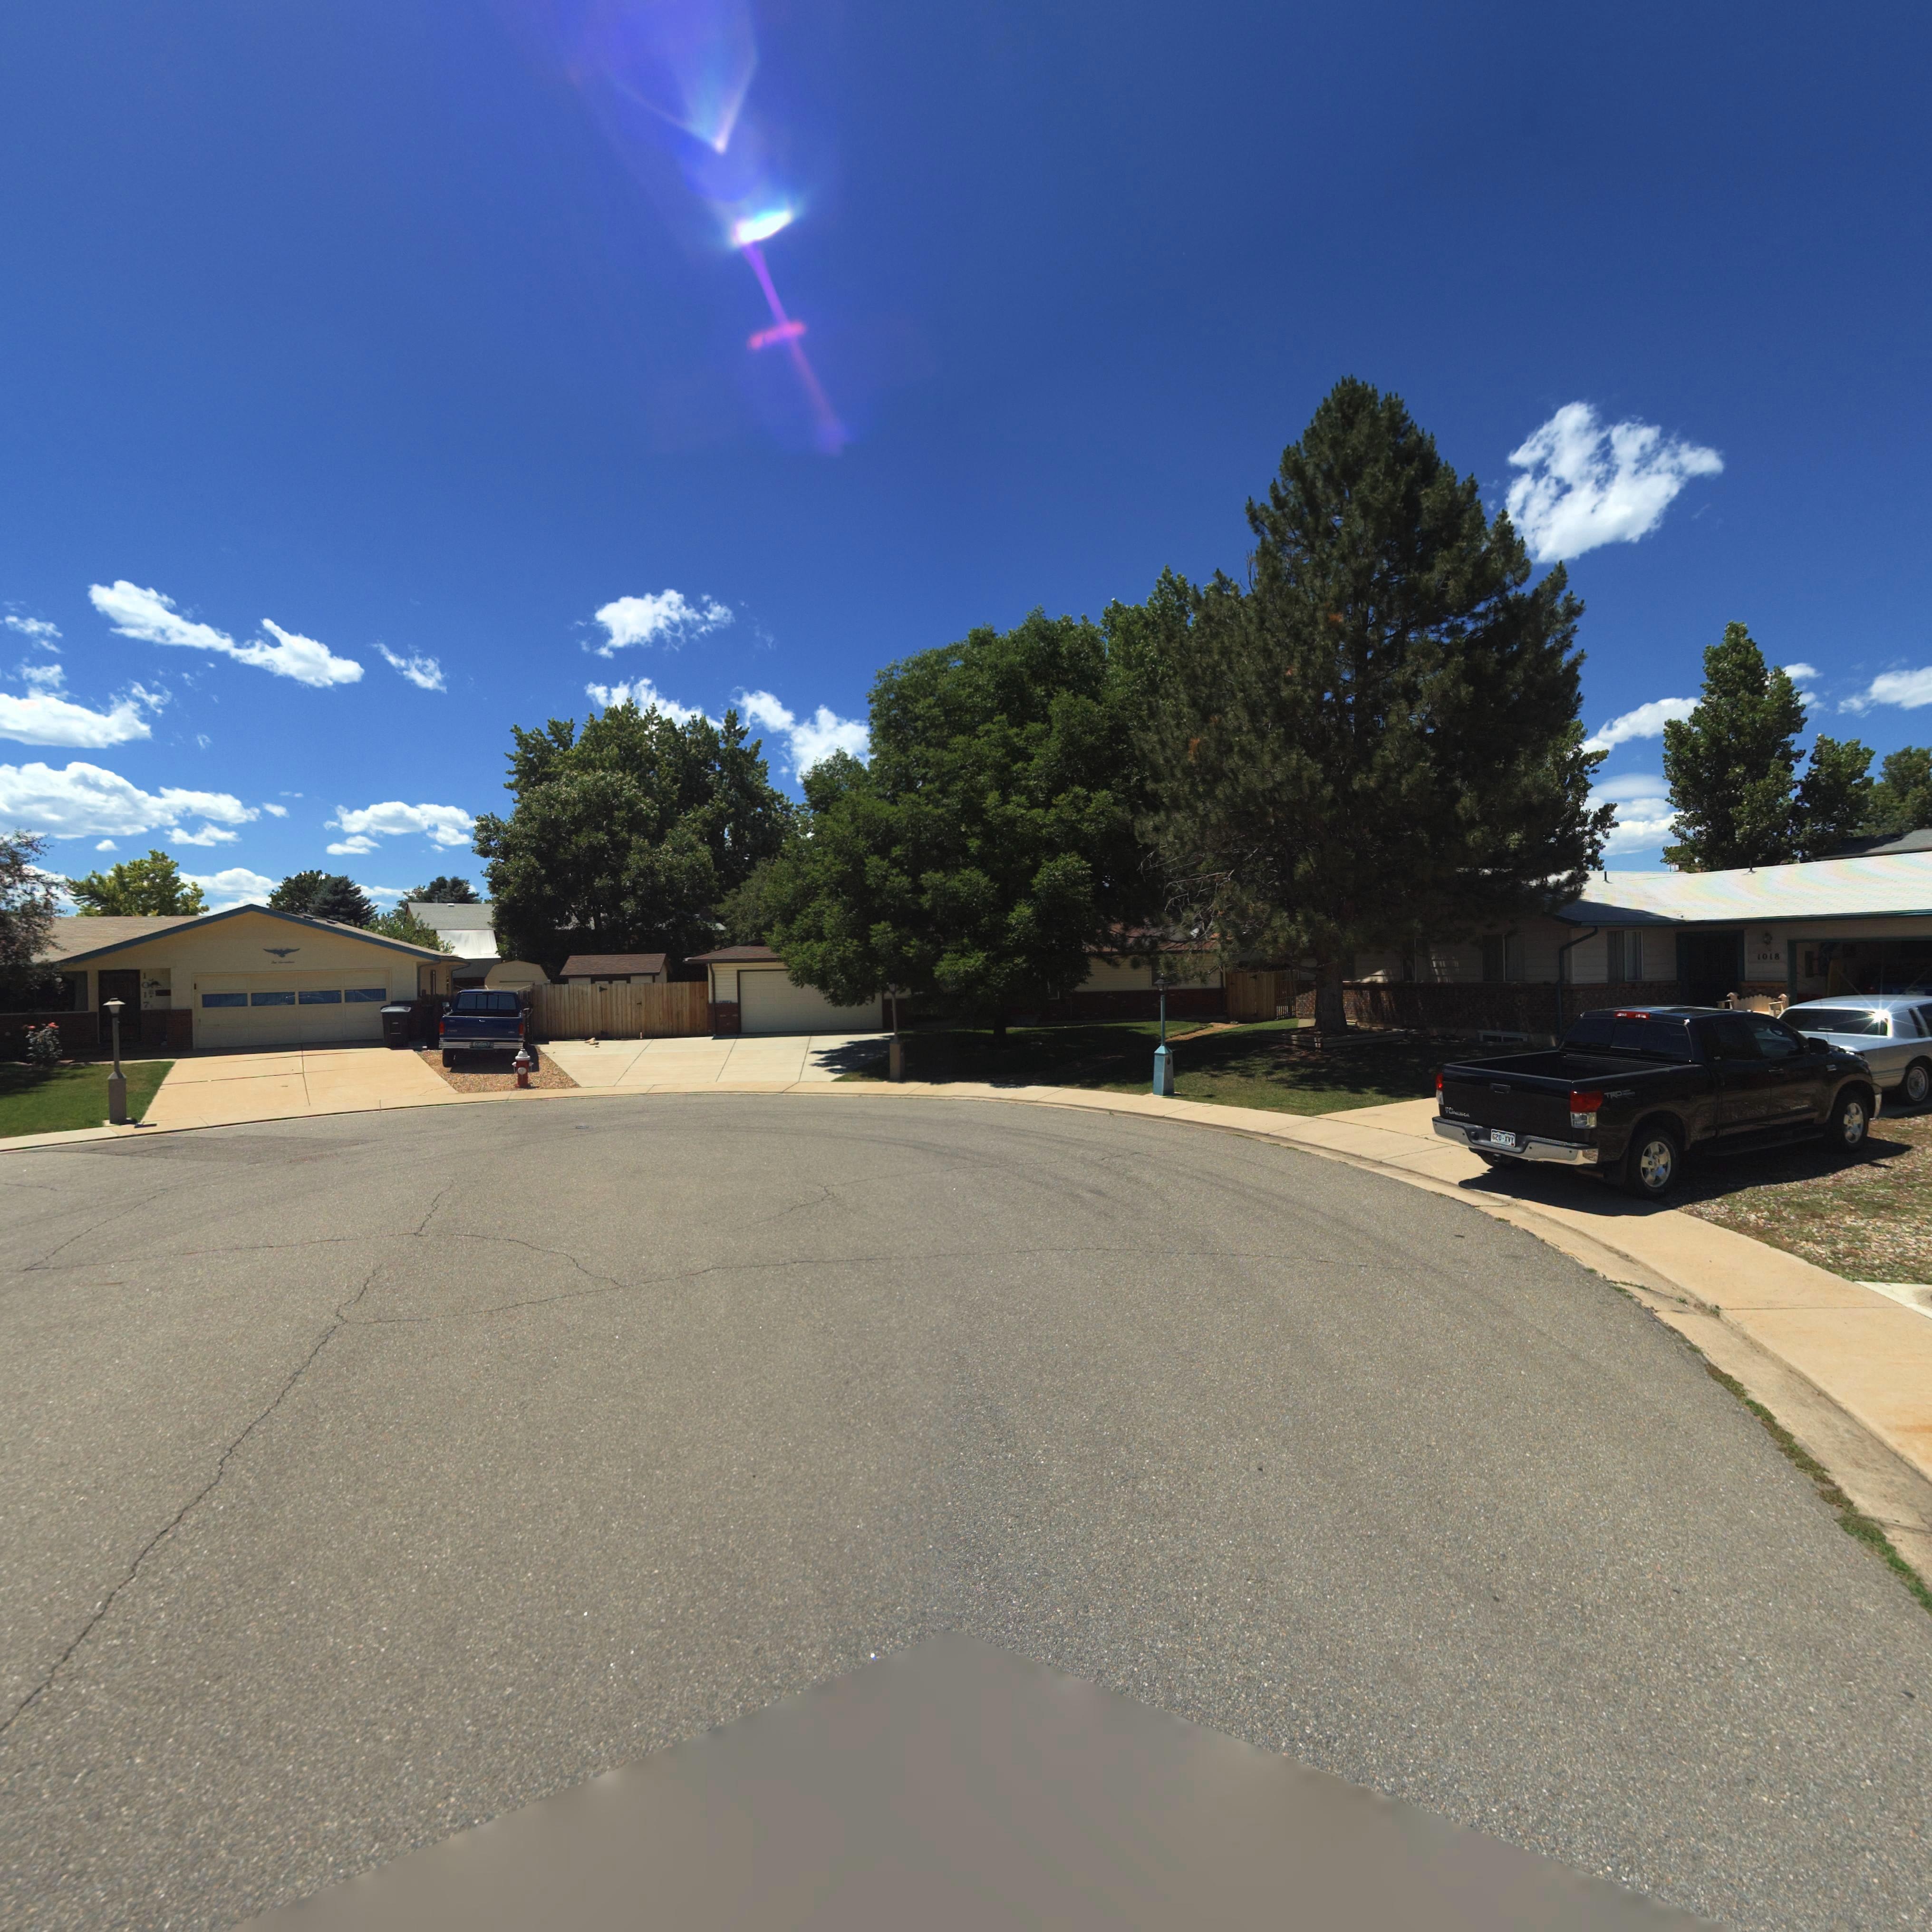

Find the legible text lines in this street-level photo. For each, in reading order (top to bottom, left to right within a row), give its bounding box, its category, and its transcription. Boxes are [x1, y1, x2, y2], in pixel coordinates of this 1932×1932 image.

[1757, 953, 1780, 960] StreetNumber: 1018
[141, 972, 150, 1008] StreetNumber: 1017